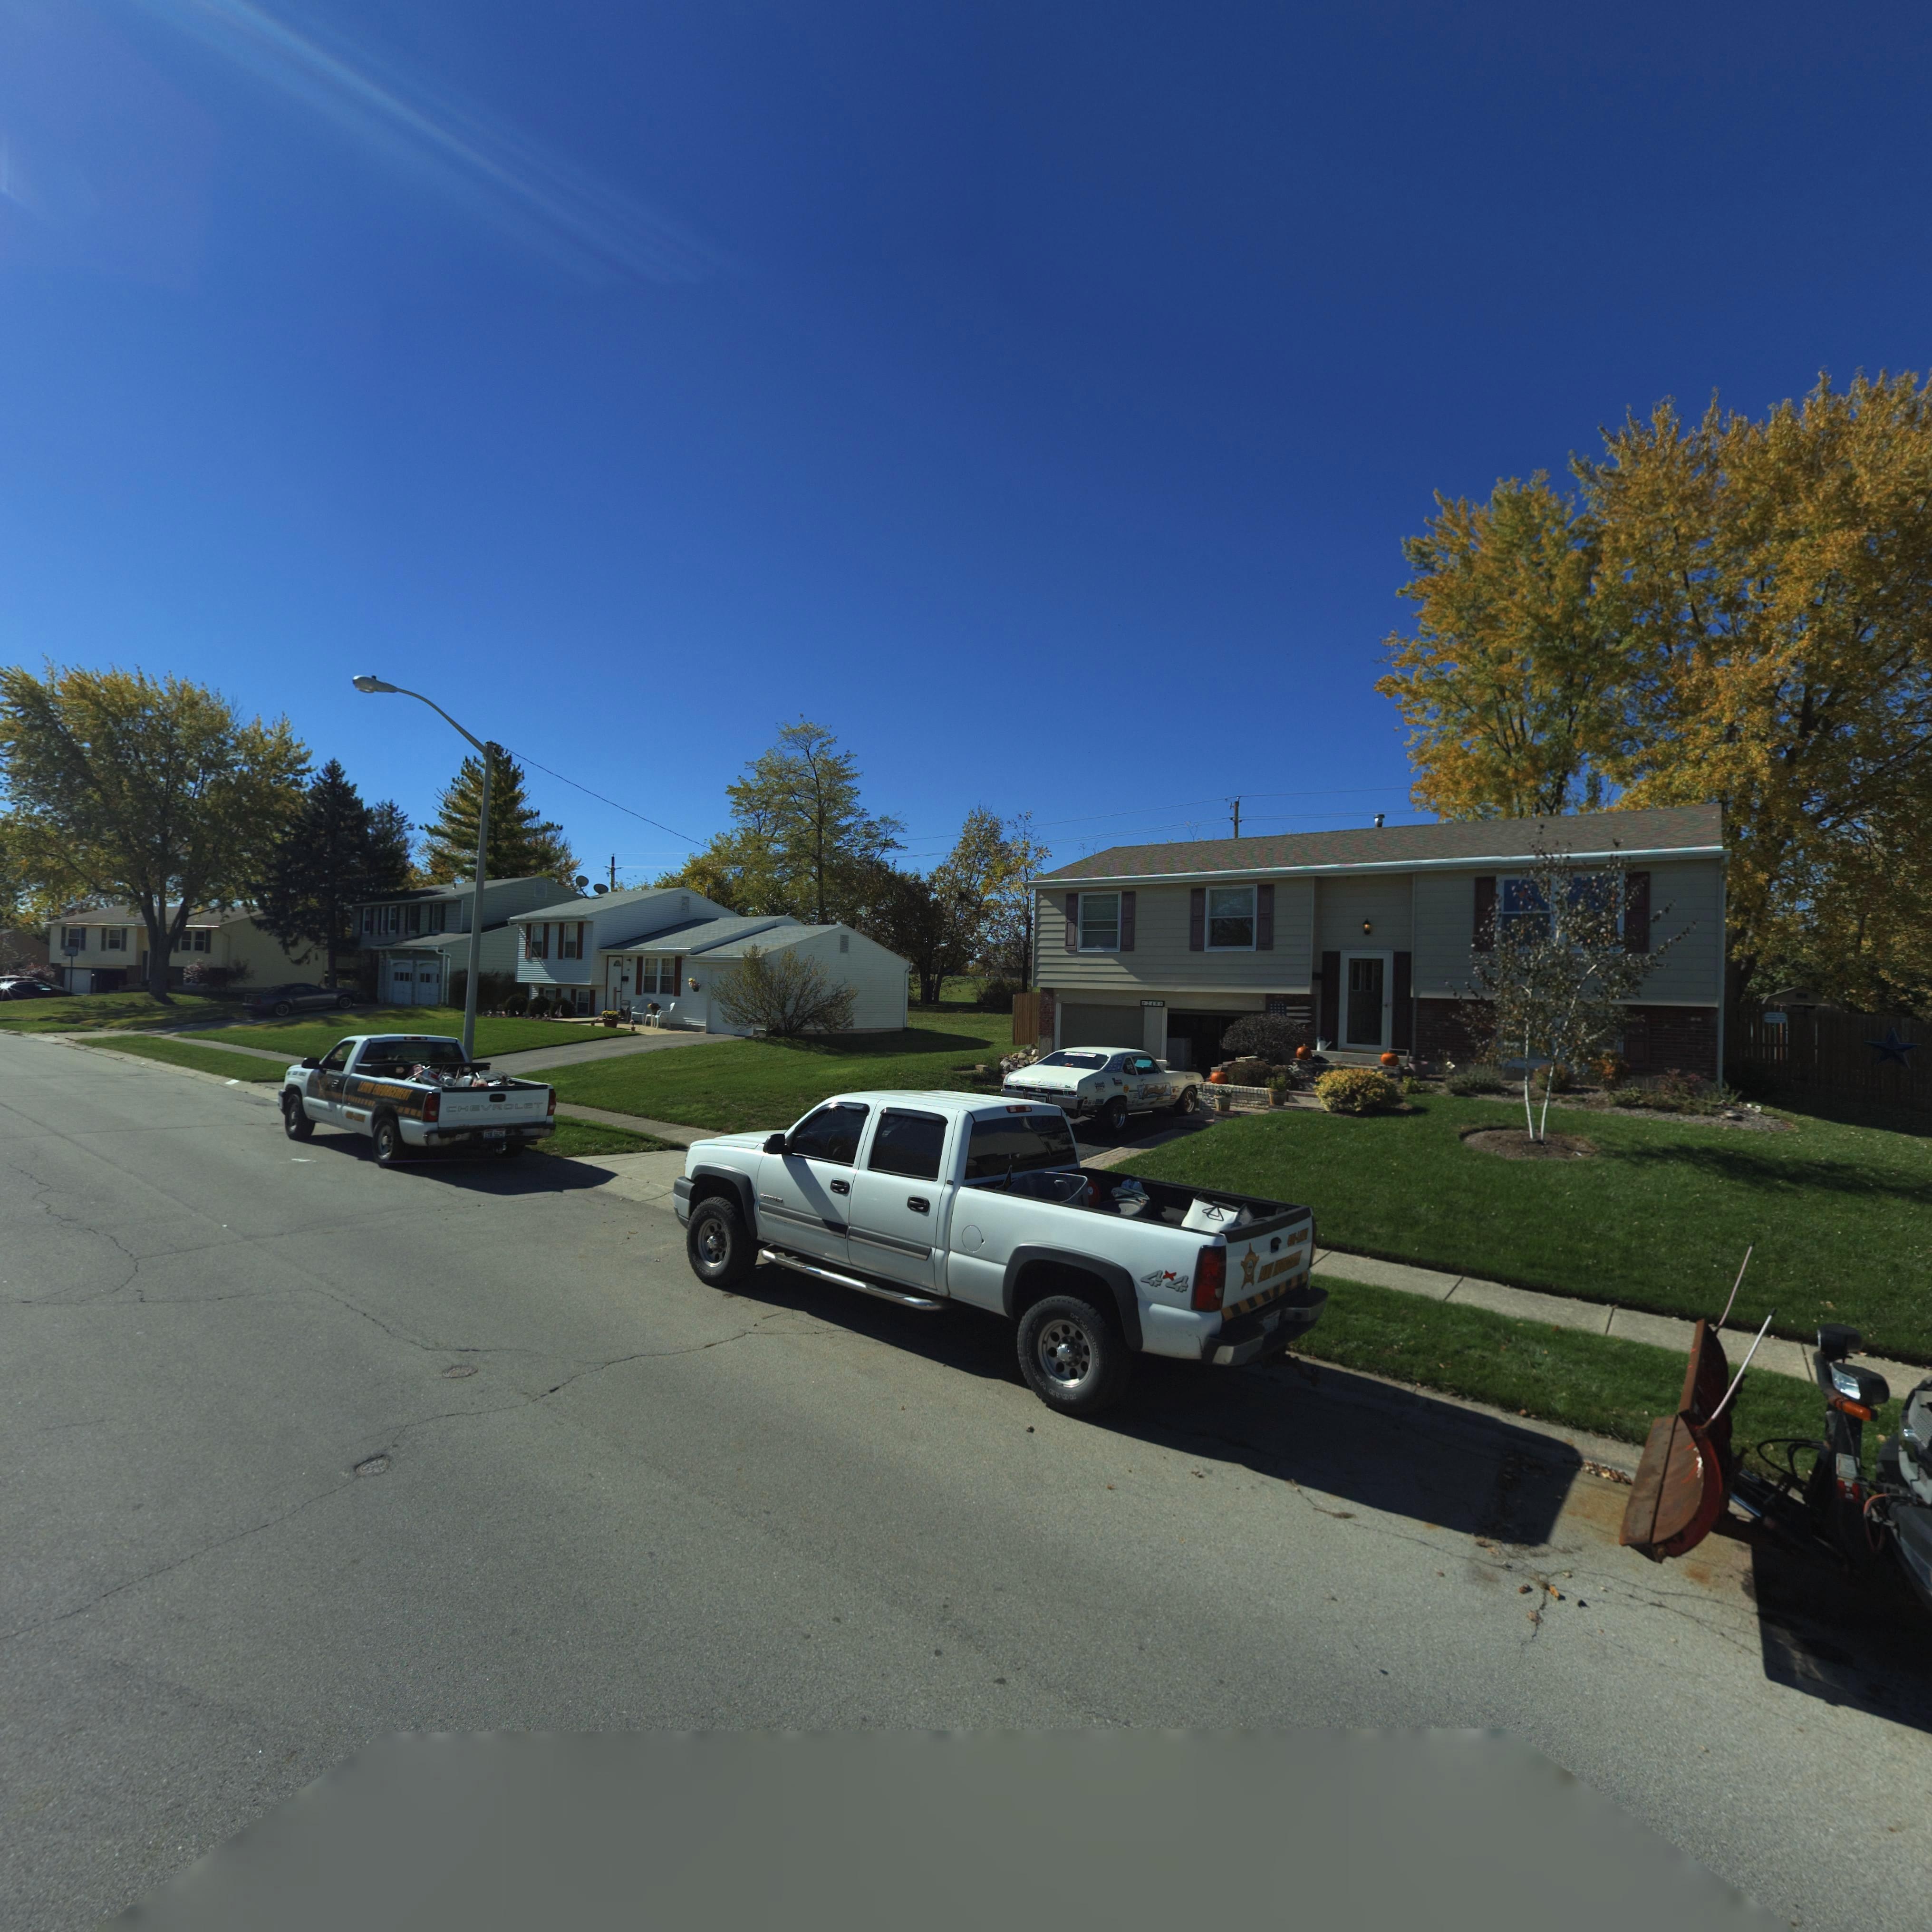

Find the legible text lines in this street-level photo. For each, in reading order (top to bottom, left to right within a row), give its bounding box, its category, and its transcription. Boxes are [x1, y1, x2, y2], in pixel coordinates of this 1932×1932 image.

[1146, 1001, 1159, 1006] StreetNumber: 248